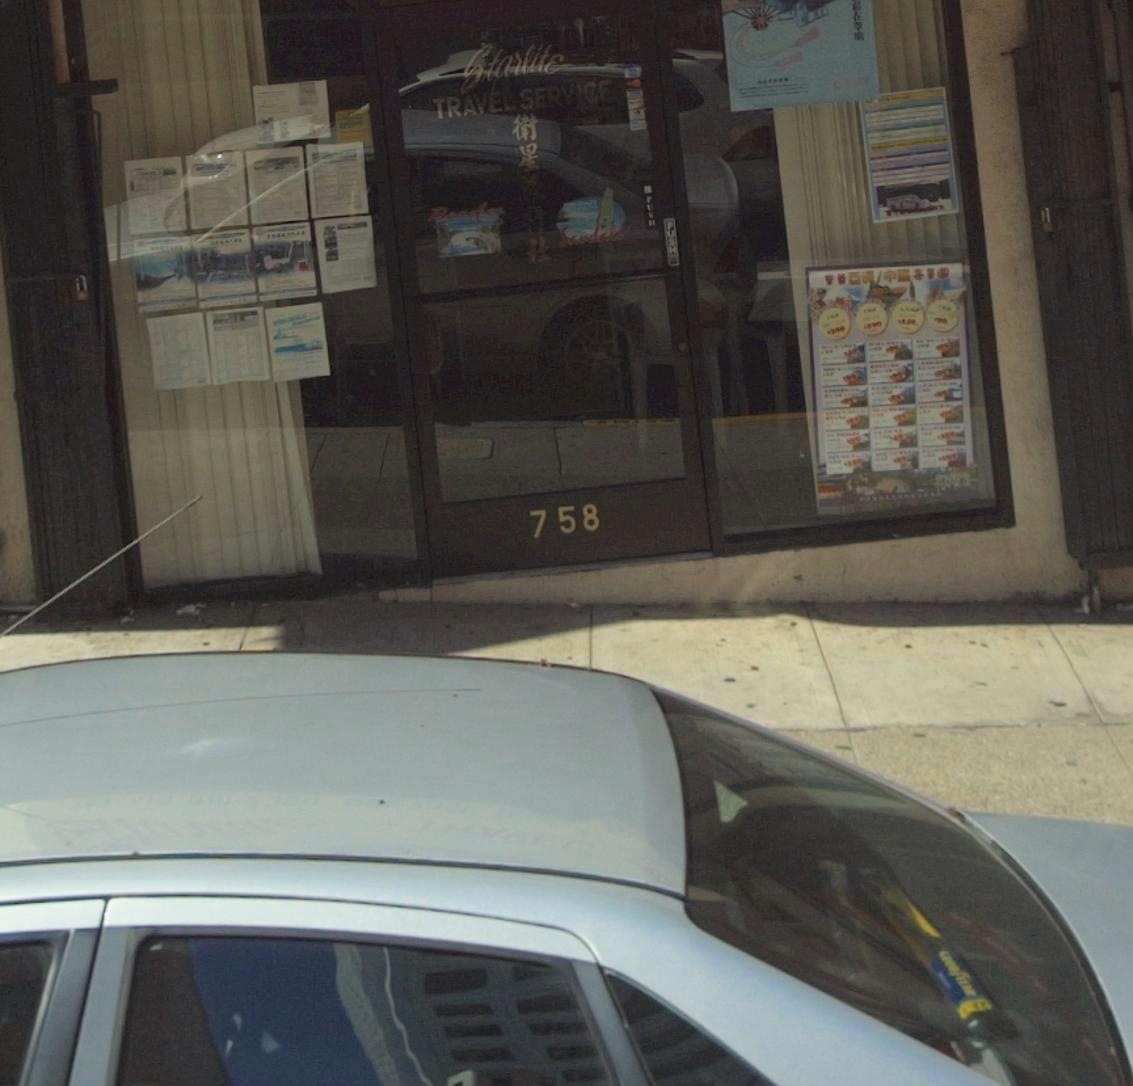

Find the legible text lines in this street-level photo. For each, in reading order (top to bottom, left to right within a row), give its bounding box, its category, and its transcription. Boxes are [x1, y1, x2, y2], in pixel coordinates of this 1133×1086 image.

[458, 41, 567, 95] BusinessName: Starlite
[430, 77, 616, 122] None: TRAVEL SERVICE
[644, 193, 658, 229] None: PUSH
[663, 218, 679, 257] None: PUSH
[527, 501, 603, 540] StreetNumber: 758